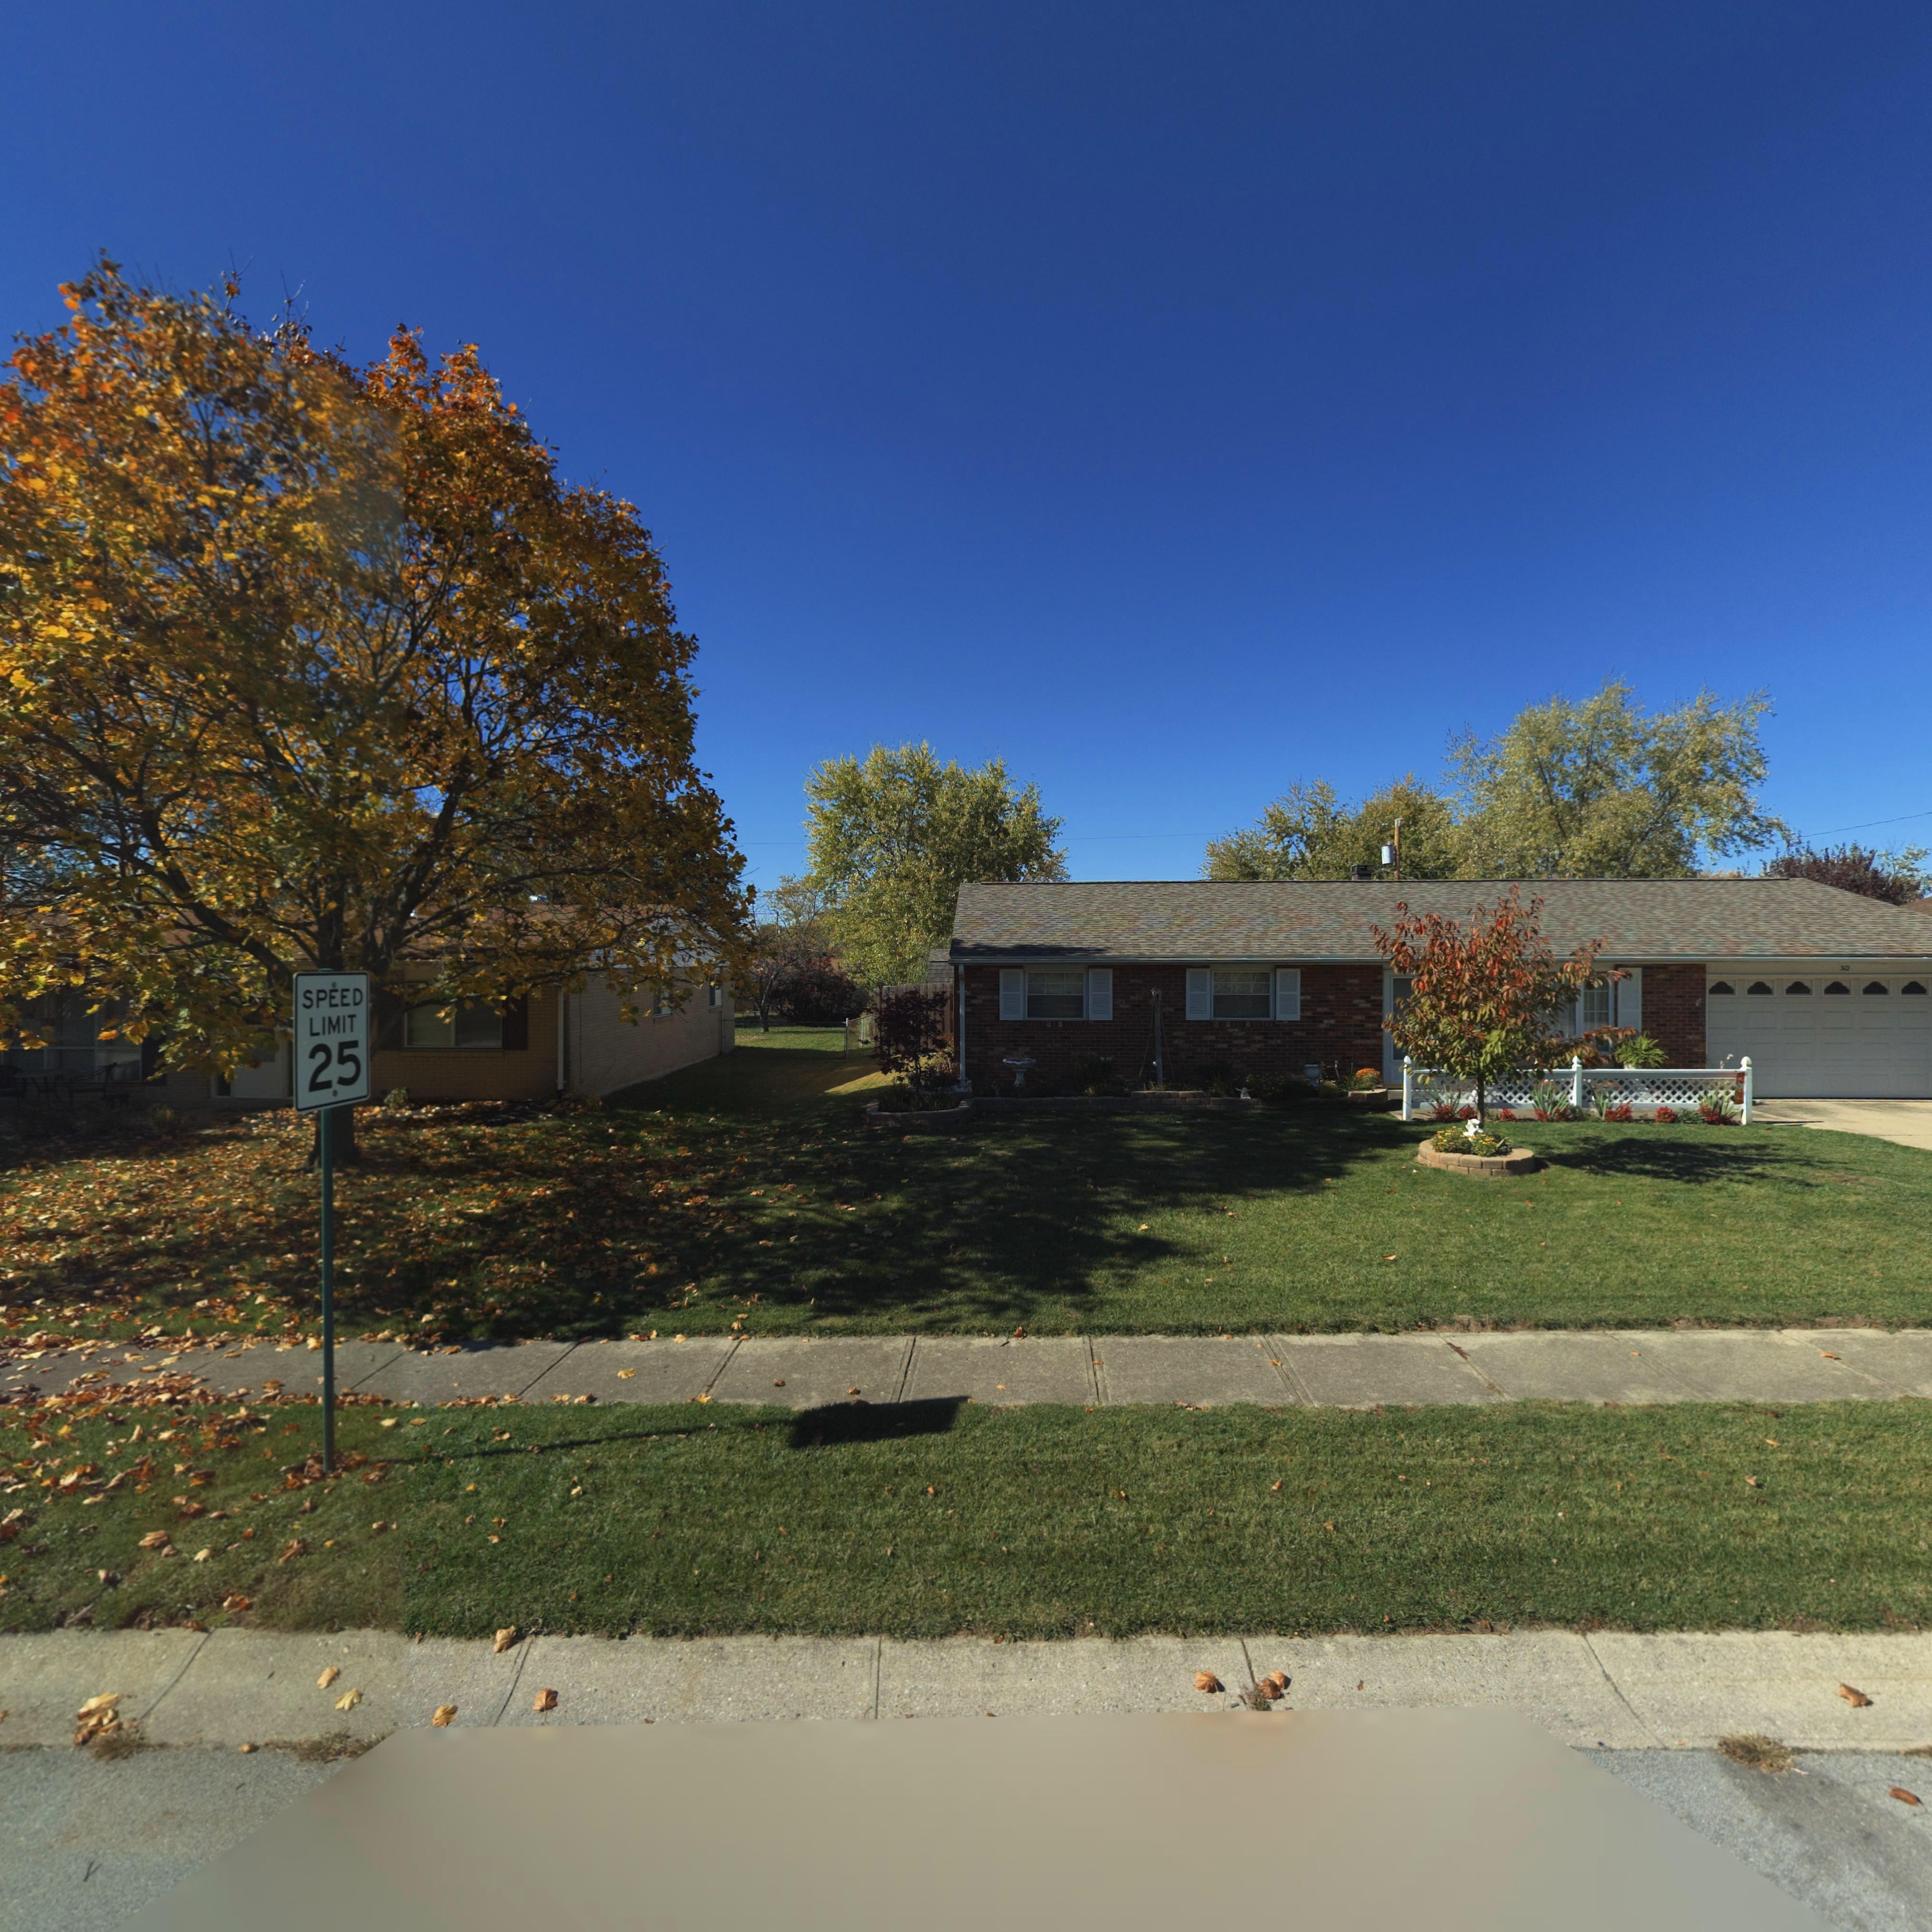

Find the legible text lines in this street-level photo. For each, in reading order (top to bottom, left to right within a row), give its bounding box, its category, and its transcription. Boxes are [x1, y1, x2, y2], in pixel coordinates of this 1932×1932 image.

[1838, 965, 1850, 971] StreetNumber: 312
[306, 1038, 362, 1094] None: 25